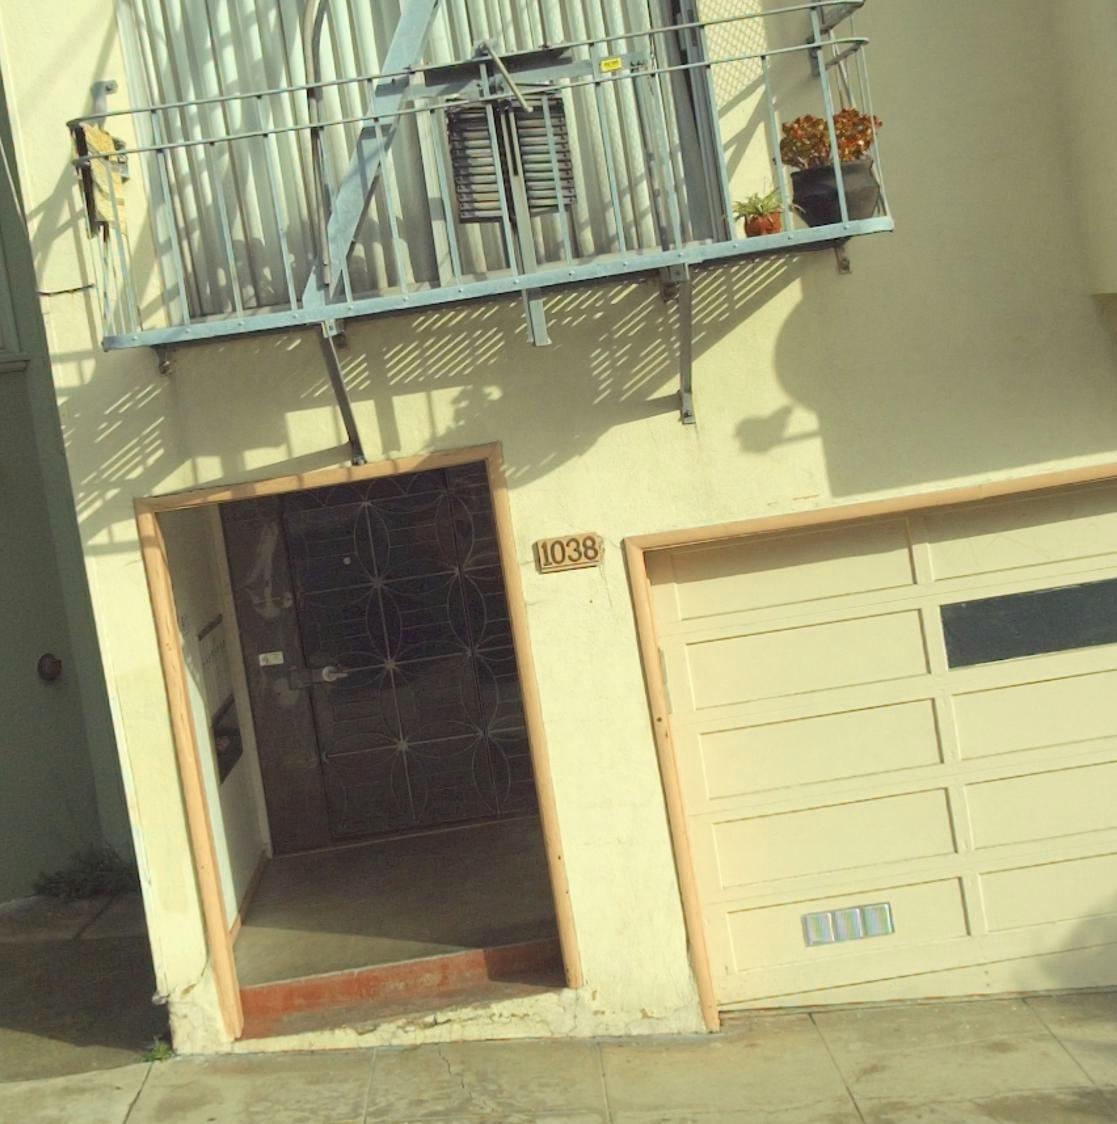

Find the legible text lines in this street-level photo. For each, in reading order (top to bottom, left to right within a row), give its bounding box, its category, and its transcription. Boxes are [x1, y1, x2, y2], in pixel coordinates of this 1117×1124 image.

[537, 531, 602, 570] StreetNumber: 1038